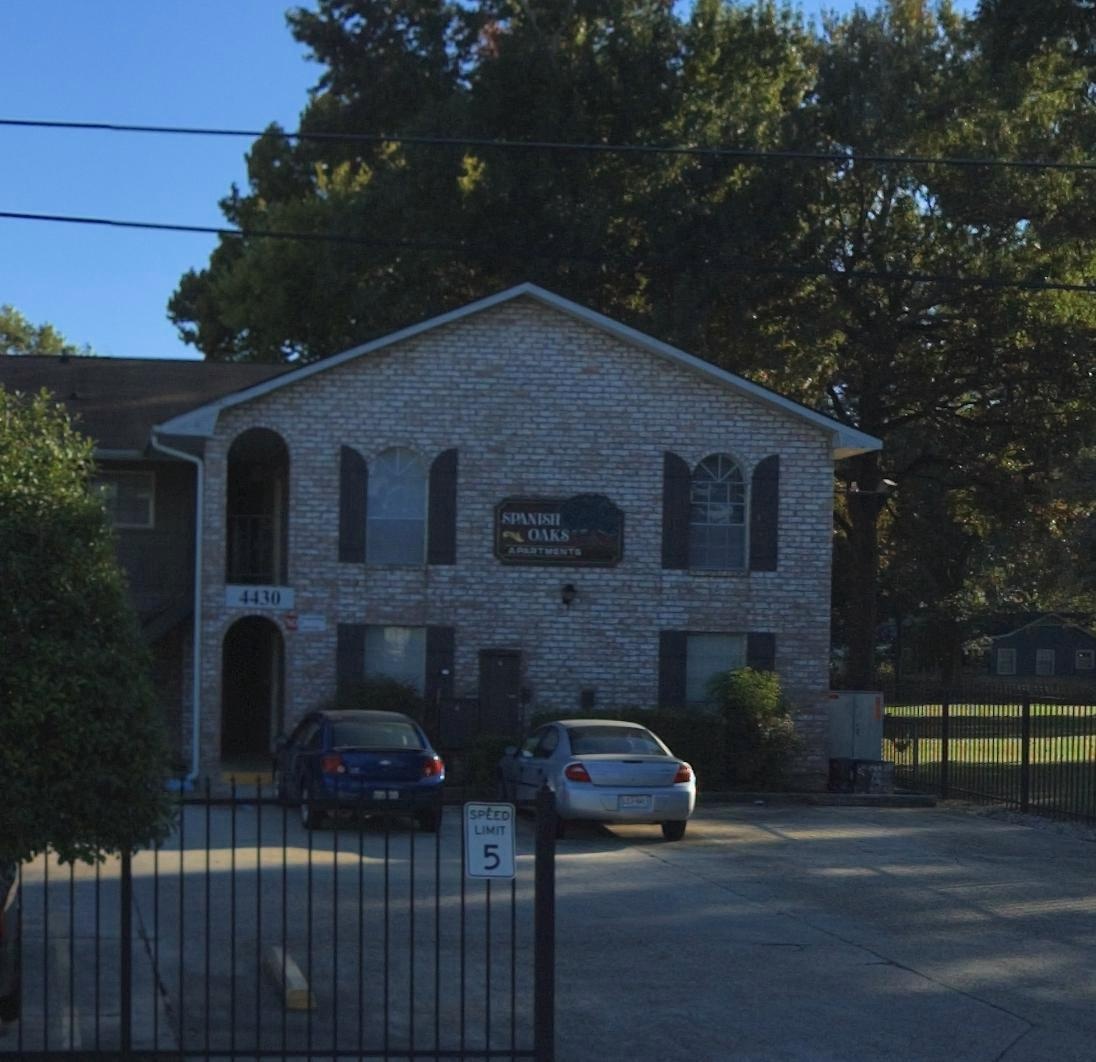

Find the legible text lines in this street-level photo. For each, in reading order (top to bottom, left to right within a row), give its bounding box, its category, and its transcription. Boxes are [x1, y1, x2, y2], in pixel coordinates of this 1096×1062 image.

[500, 510, 562, 526] BusinessName: SPANISH
[527, 527, 571, 543] BusinessName: OAKS
[507, 546, 583, 557] BusinessName: APARTMENTS
[237, 588, 282, 607] StreetNumber: 4430
[469, 808, 511, 821] None: SPEED
[474, 824, 507, 837] None: LIMIT
[483, 843, 502, 871] None: 5